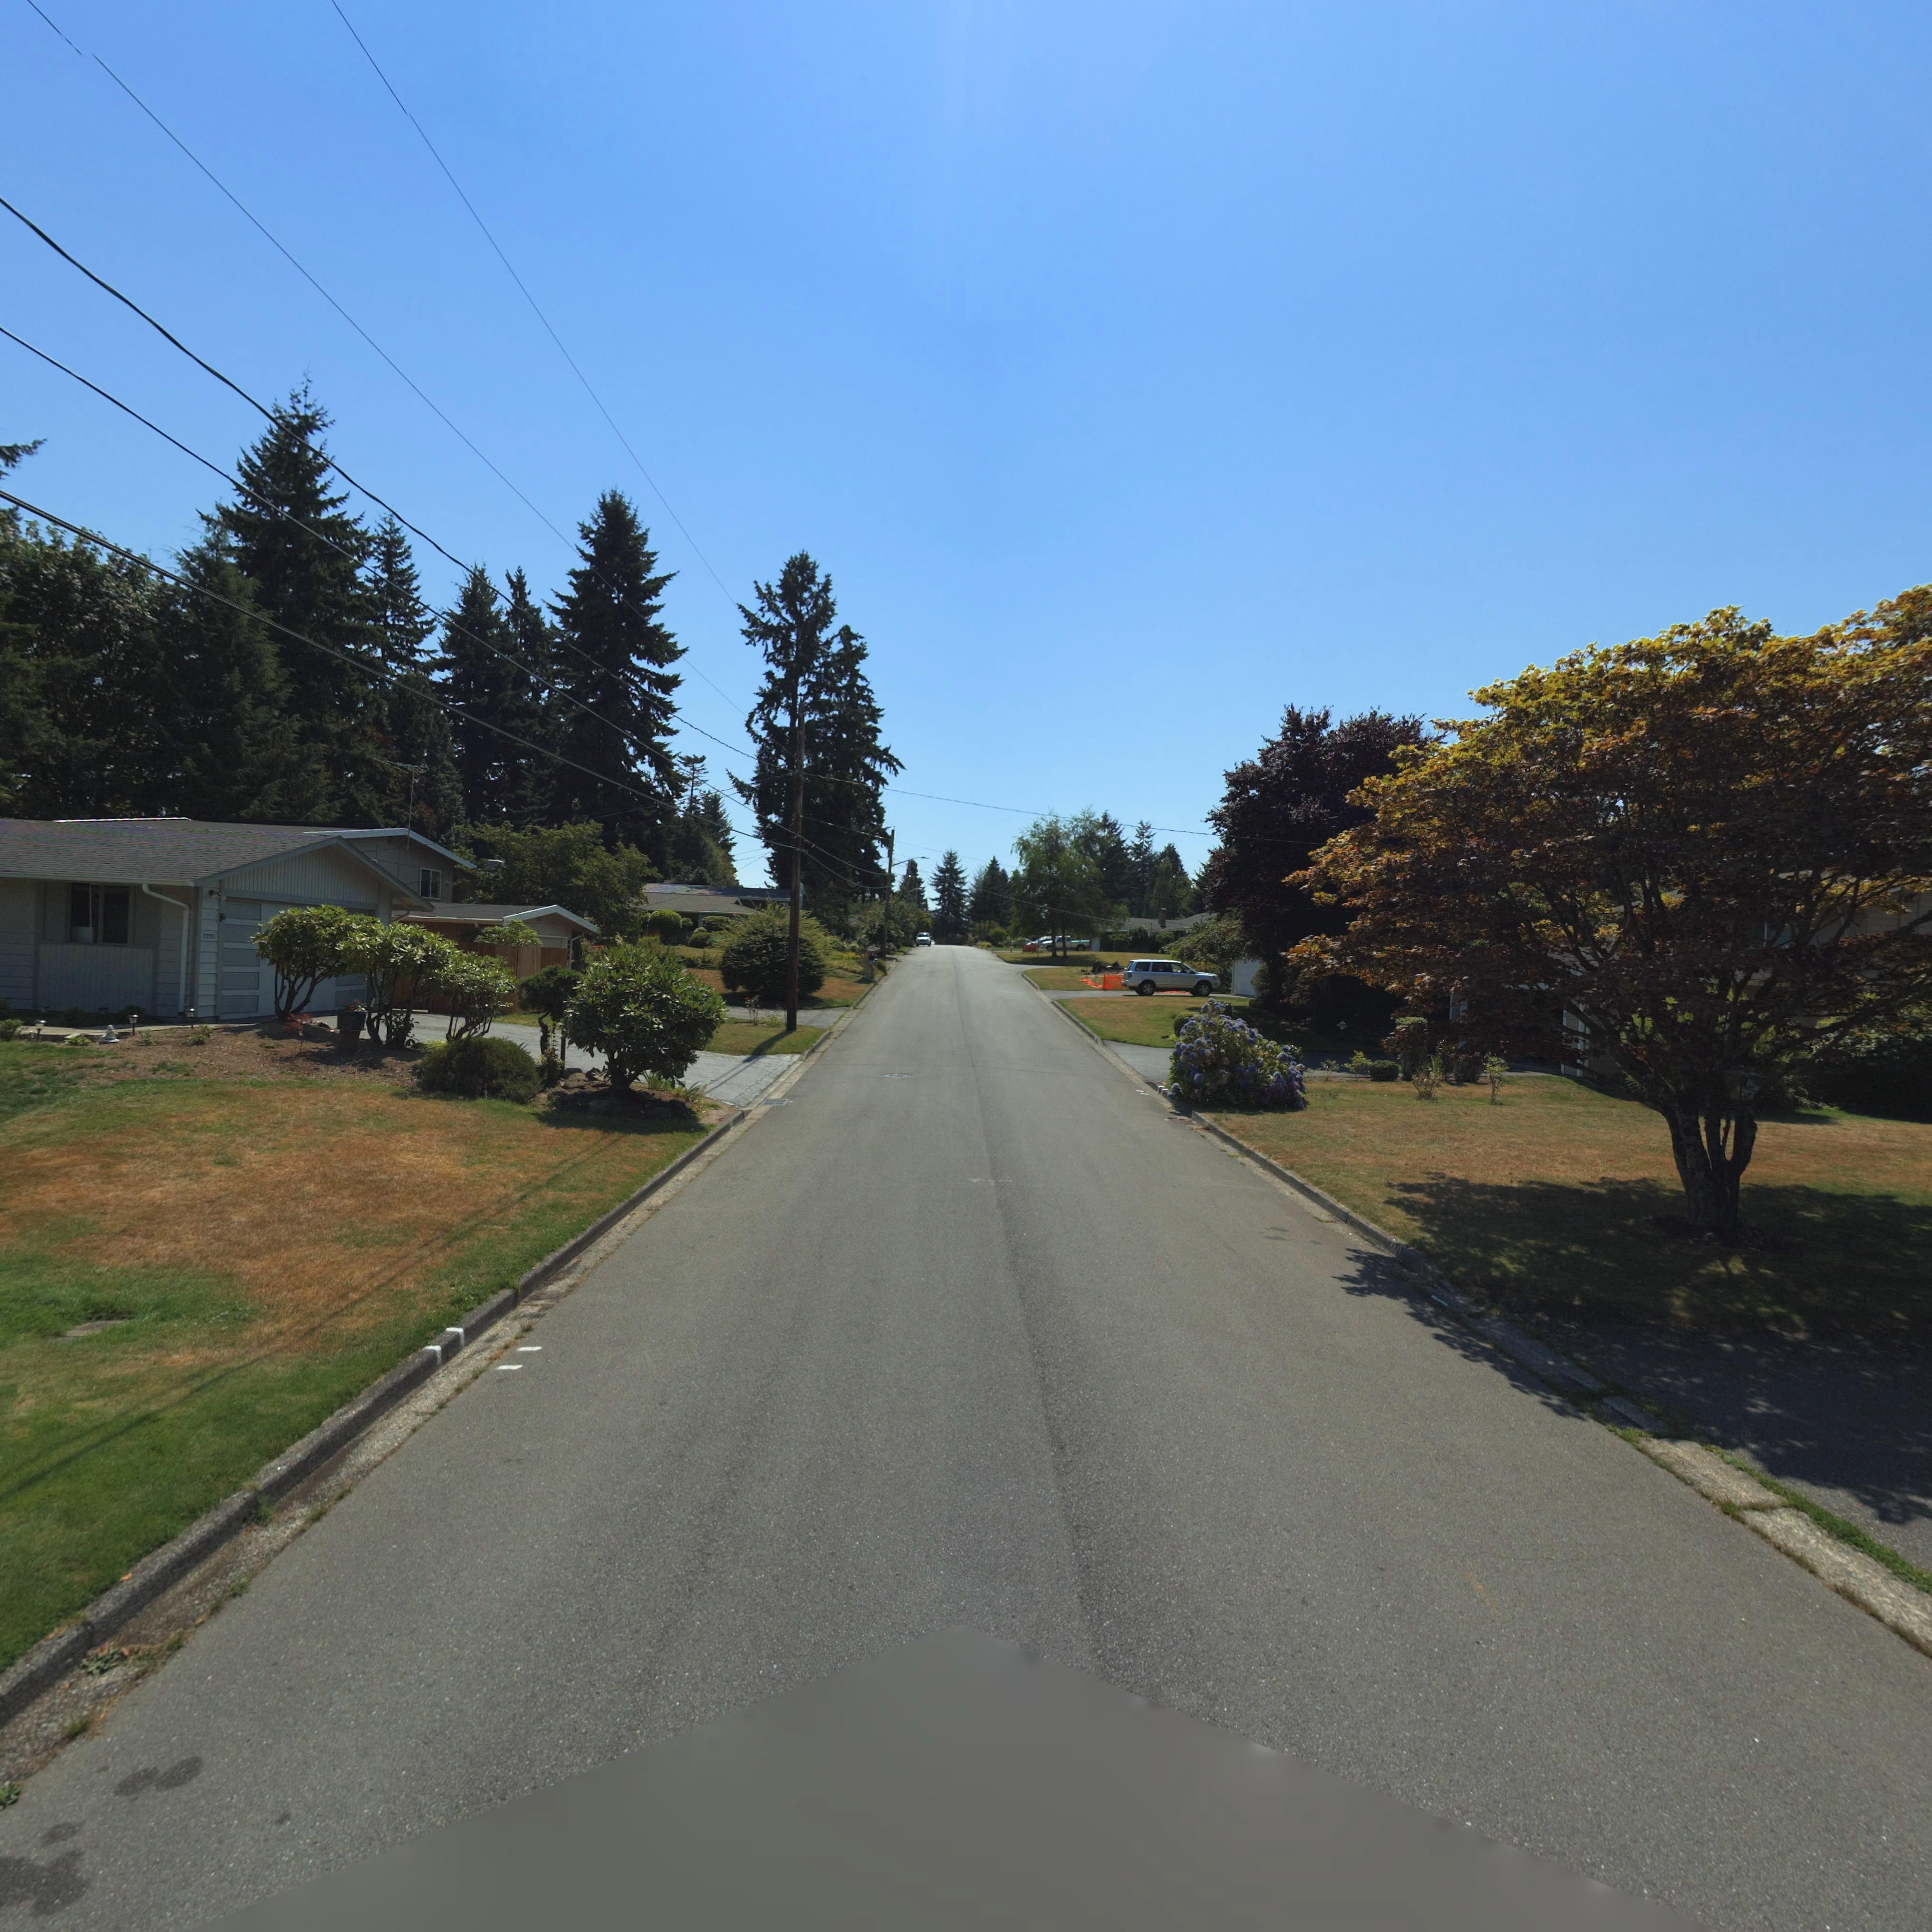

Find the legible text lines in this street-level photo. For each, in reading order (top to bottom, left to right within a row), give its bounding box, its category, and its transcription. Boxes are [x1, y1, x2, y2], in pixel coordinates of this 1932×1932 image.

[202, 933, 215, 939] StreetNumber: 2220